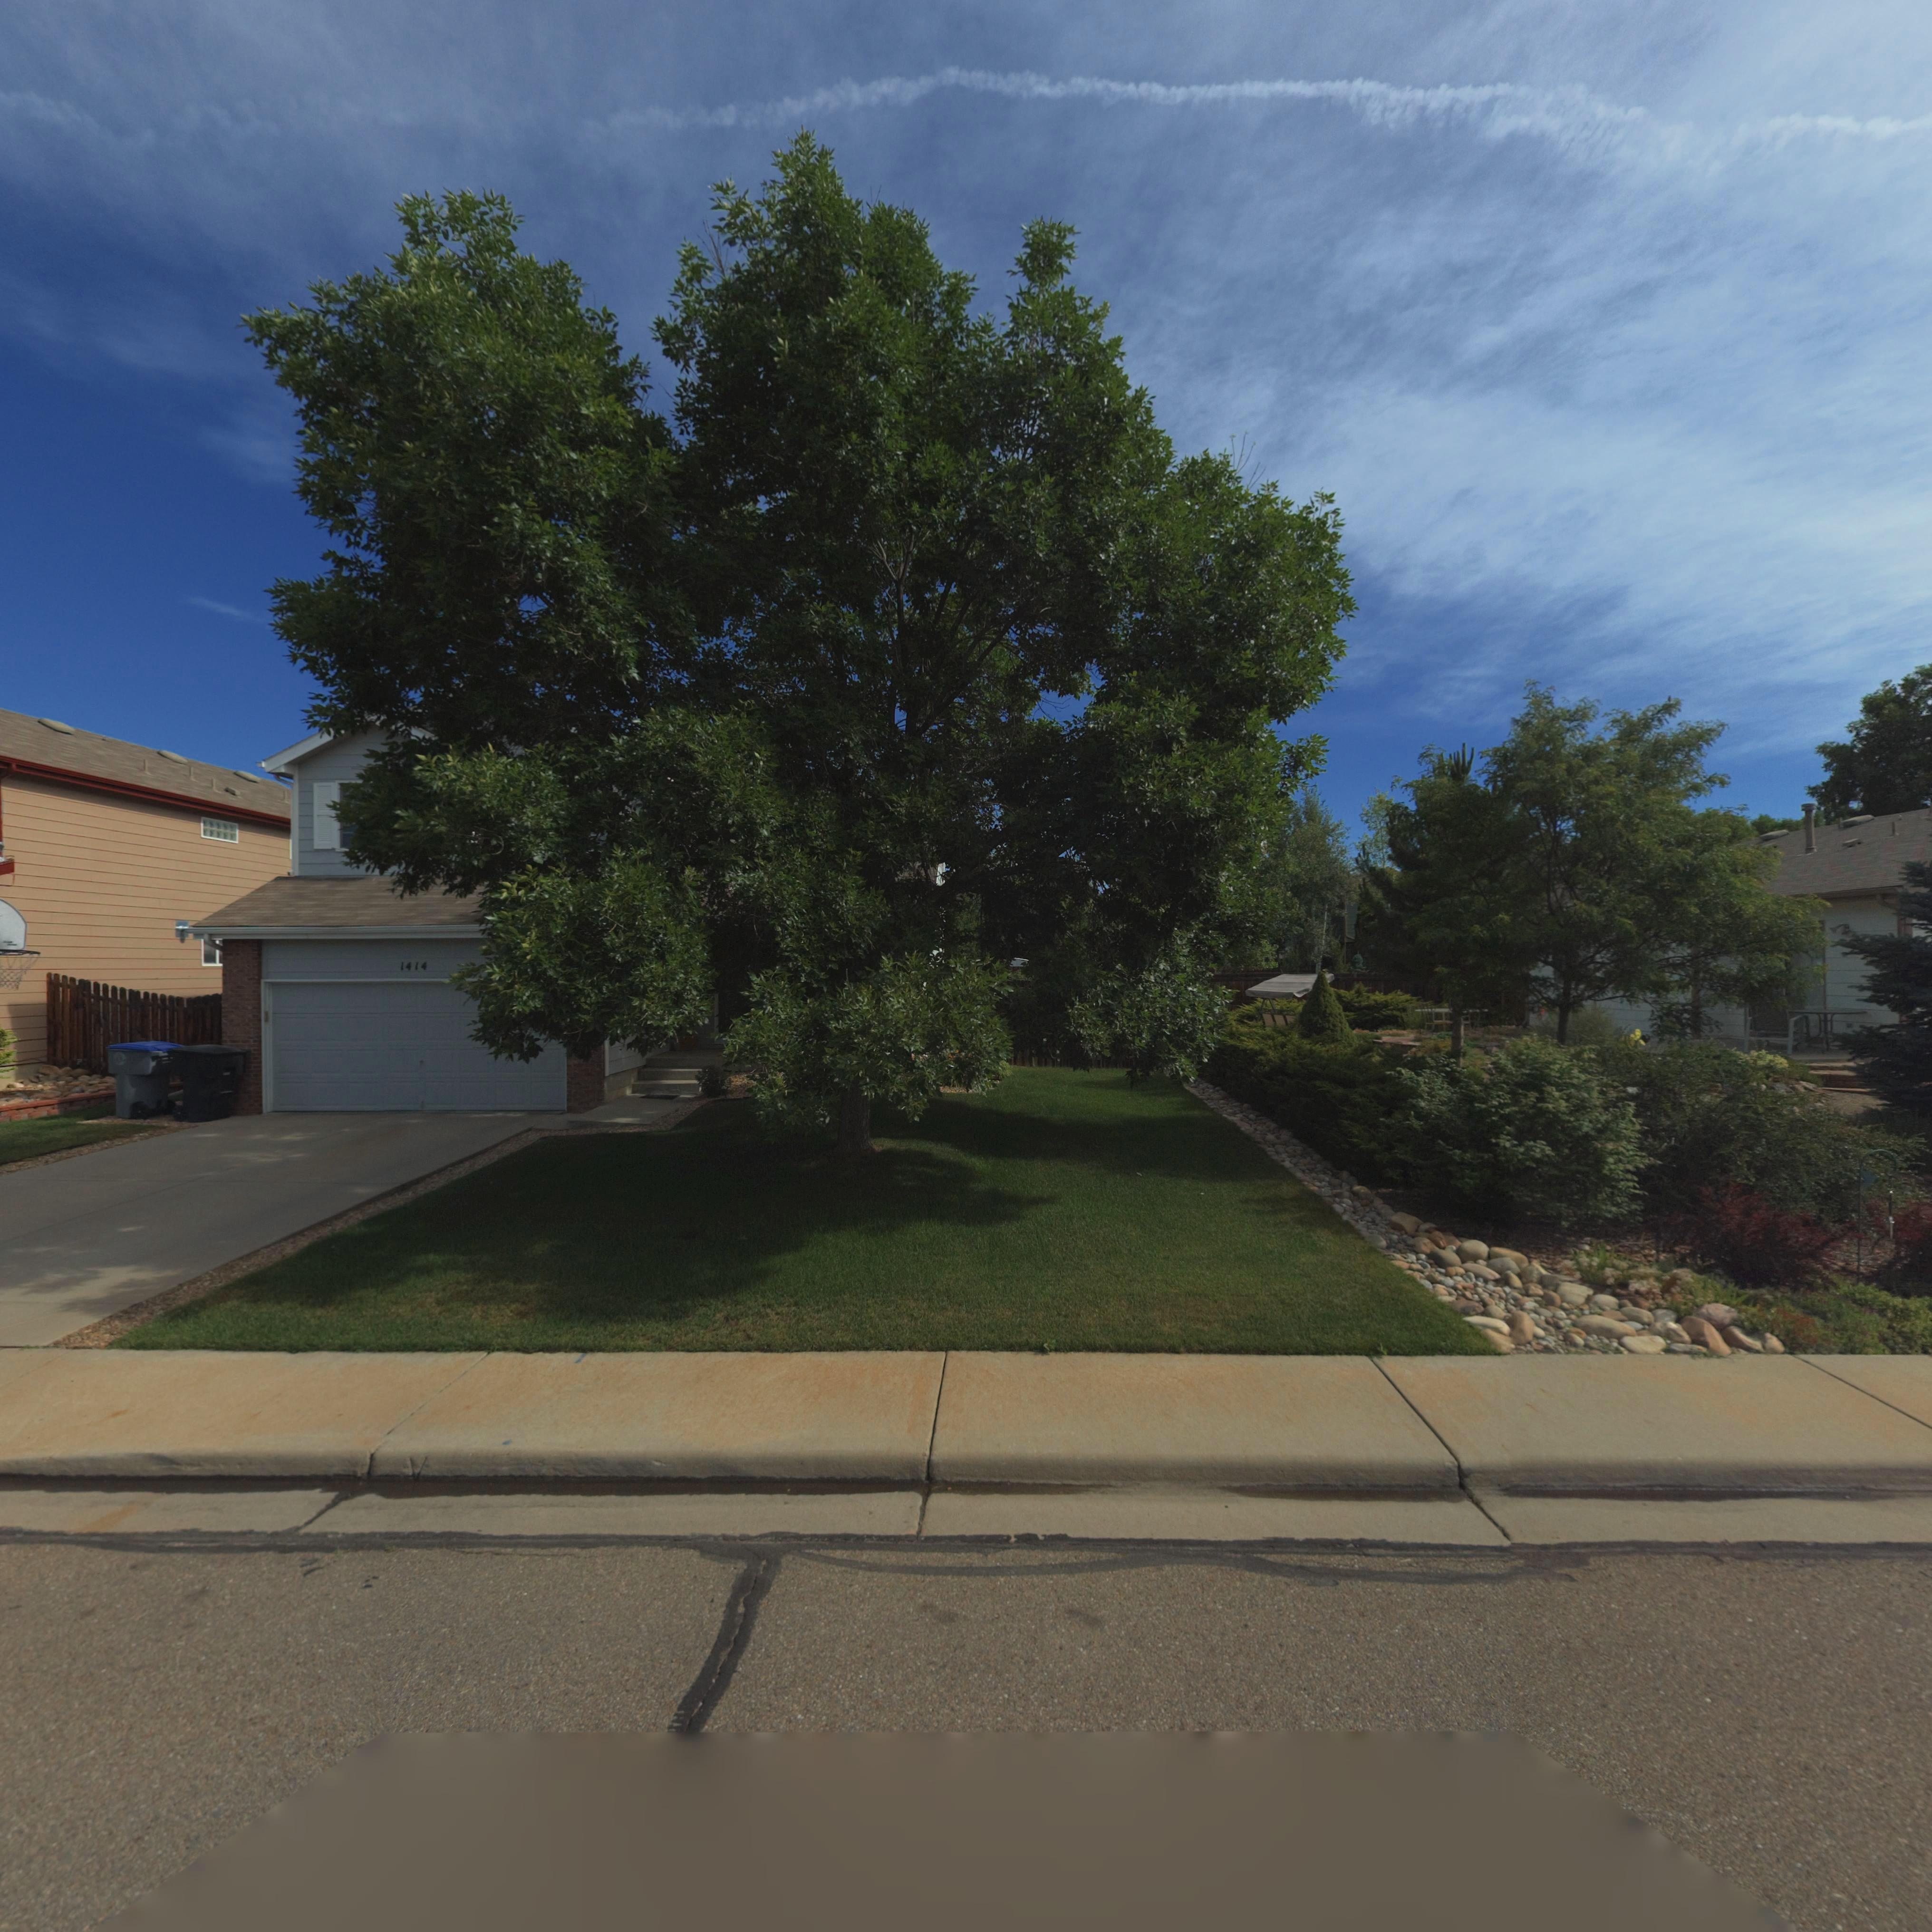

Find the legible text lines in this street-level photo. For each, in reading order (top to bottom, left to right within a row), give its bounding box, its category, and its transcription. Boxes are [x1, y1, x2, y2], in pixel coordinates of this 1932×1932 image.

[400, 960, 427, 971] StreetNumber: 1414